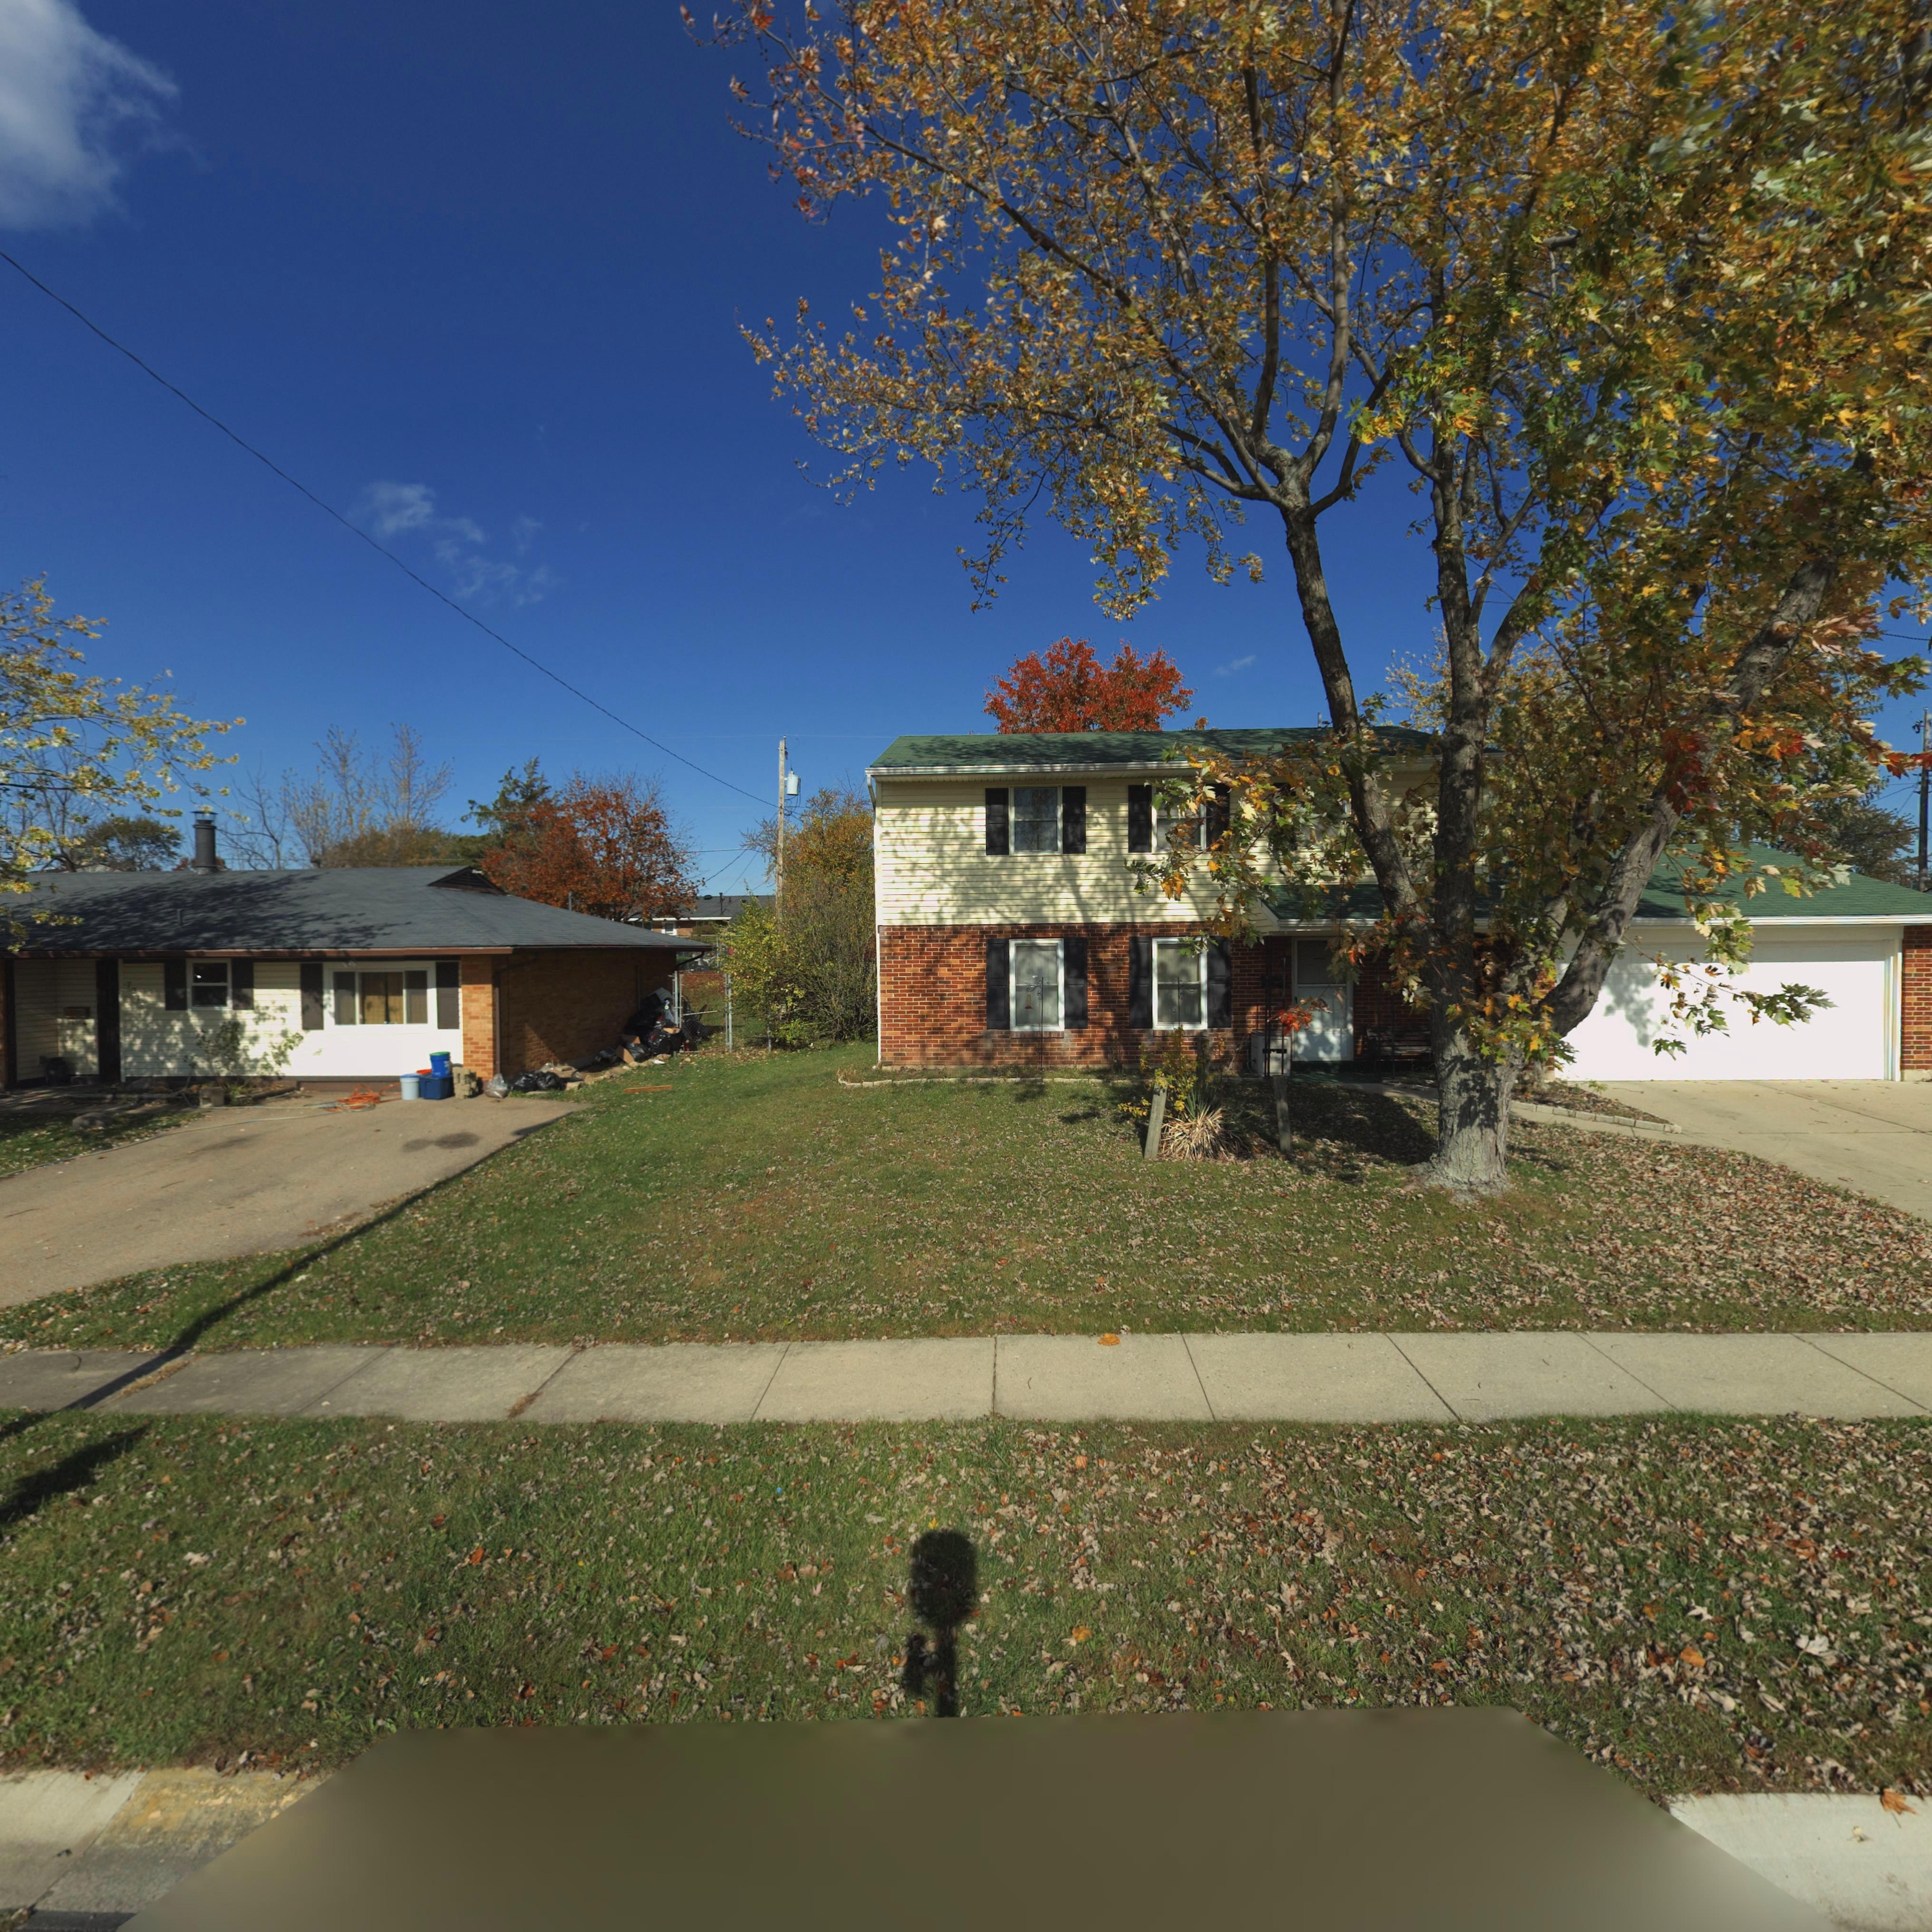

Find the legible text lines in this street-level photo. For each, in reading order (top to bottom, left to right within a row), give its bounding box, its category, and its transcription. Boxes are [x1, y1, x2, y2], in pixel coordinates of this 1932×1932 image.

[126, 980, 149, 1008] StreetNumber: 7***